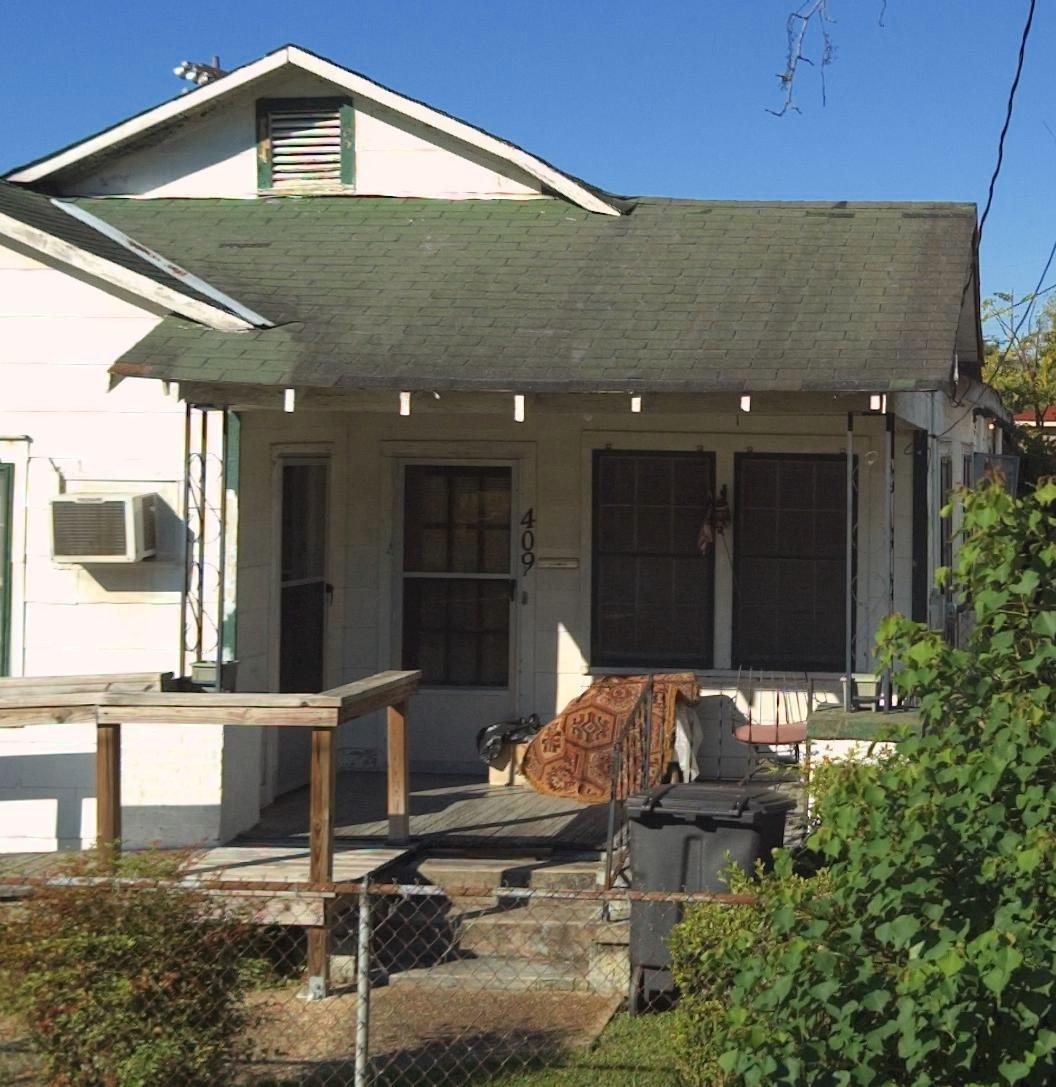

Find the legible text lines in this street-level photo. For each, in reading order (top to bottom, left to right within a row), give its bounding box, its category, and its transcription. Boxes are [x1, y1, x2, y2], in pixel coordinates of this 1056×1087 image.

[518, 504, 538, 576] StreetNumber: 409